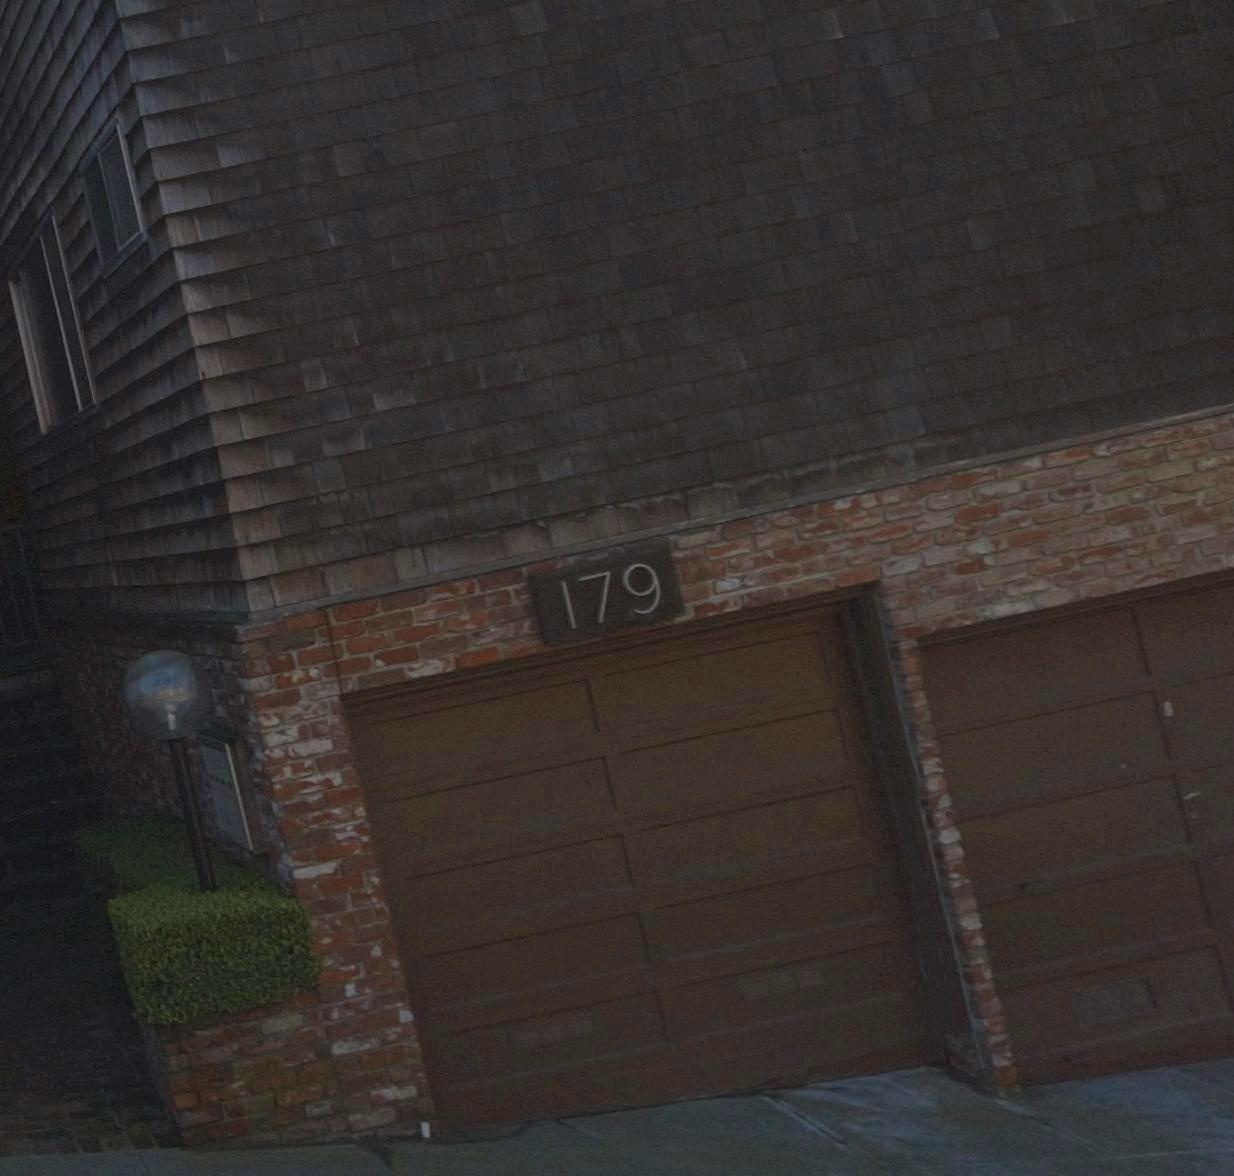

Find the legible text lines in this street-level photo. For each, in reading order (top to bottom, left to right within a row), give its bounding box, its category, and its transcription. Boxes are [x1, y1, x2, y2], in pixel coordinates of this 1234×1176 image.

[557, 557, 669, 633] StreetNumber: 179